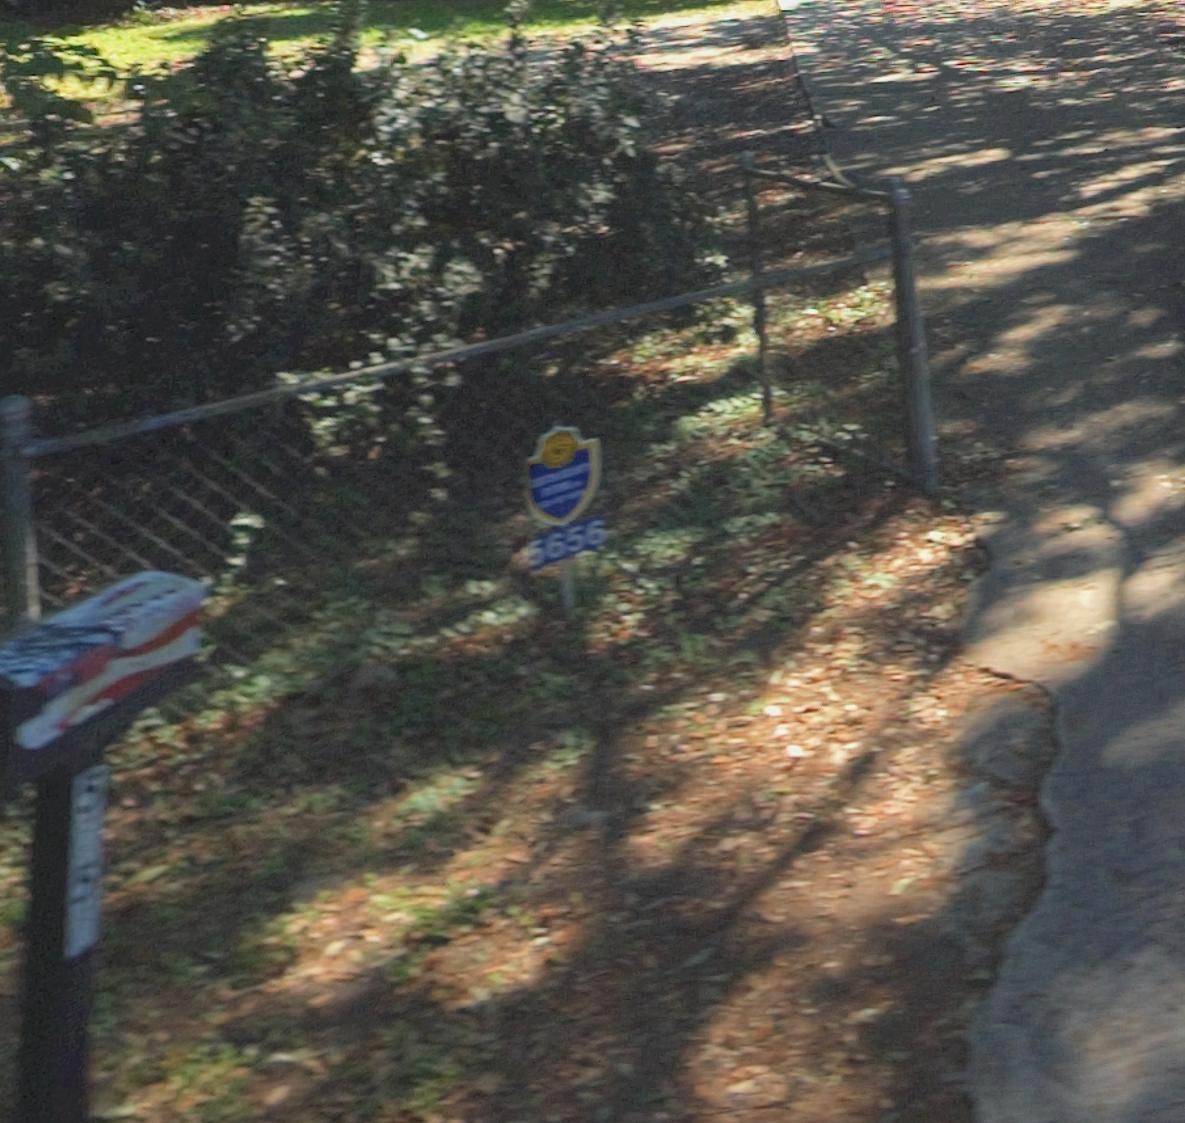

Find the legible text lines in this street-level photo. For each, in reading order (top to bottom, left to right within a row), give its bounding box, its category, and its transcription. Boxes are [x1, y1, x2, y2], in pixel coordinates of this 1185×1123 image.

[526, 516, 608, 572] StreetNumber: 5656